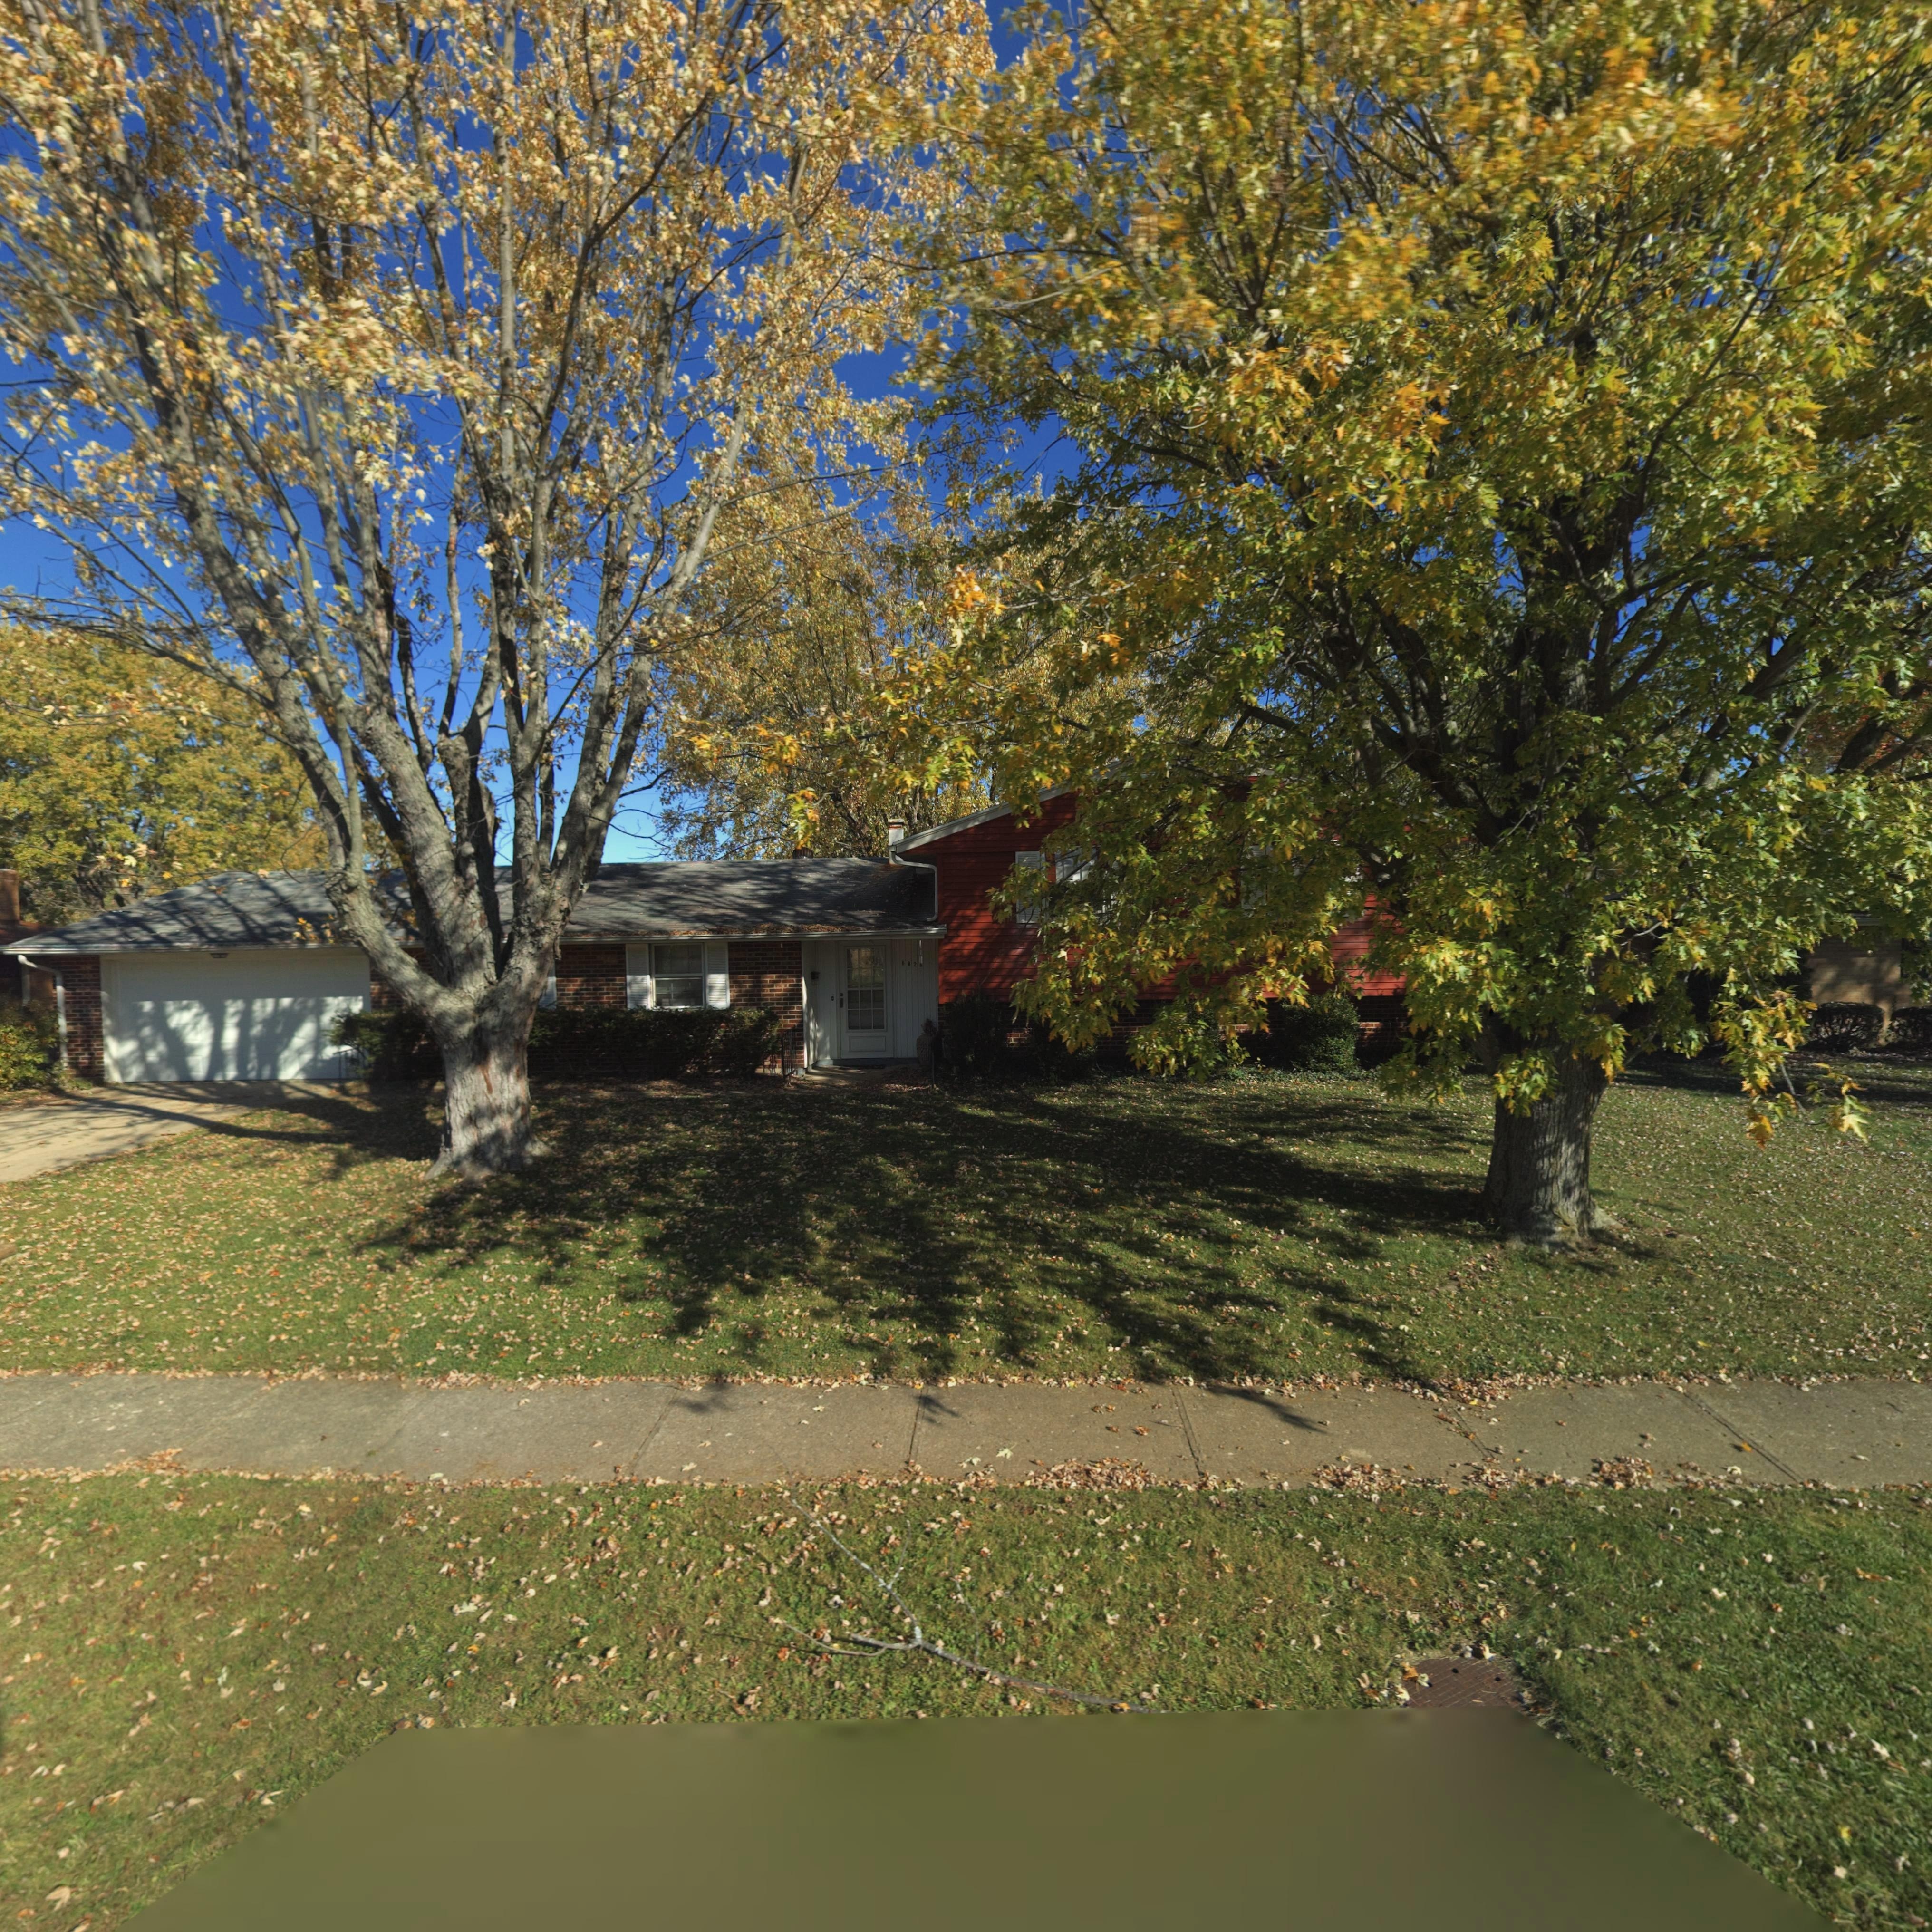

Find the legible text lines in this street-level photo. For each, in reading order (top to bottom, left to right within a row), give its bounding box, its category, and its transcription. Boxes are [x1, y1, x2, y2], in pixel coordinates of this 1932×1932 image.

[901, 960, 923, 967] StreetNumber: 6826